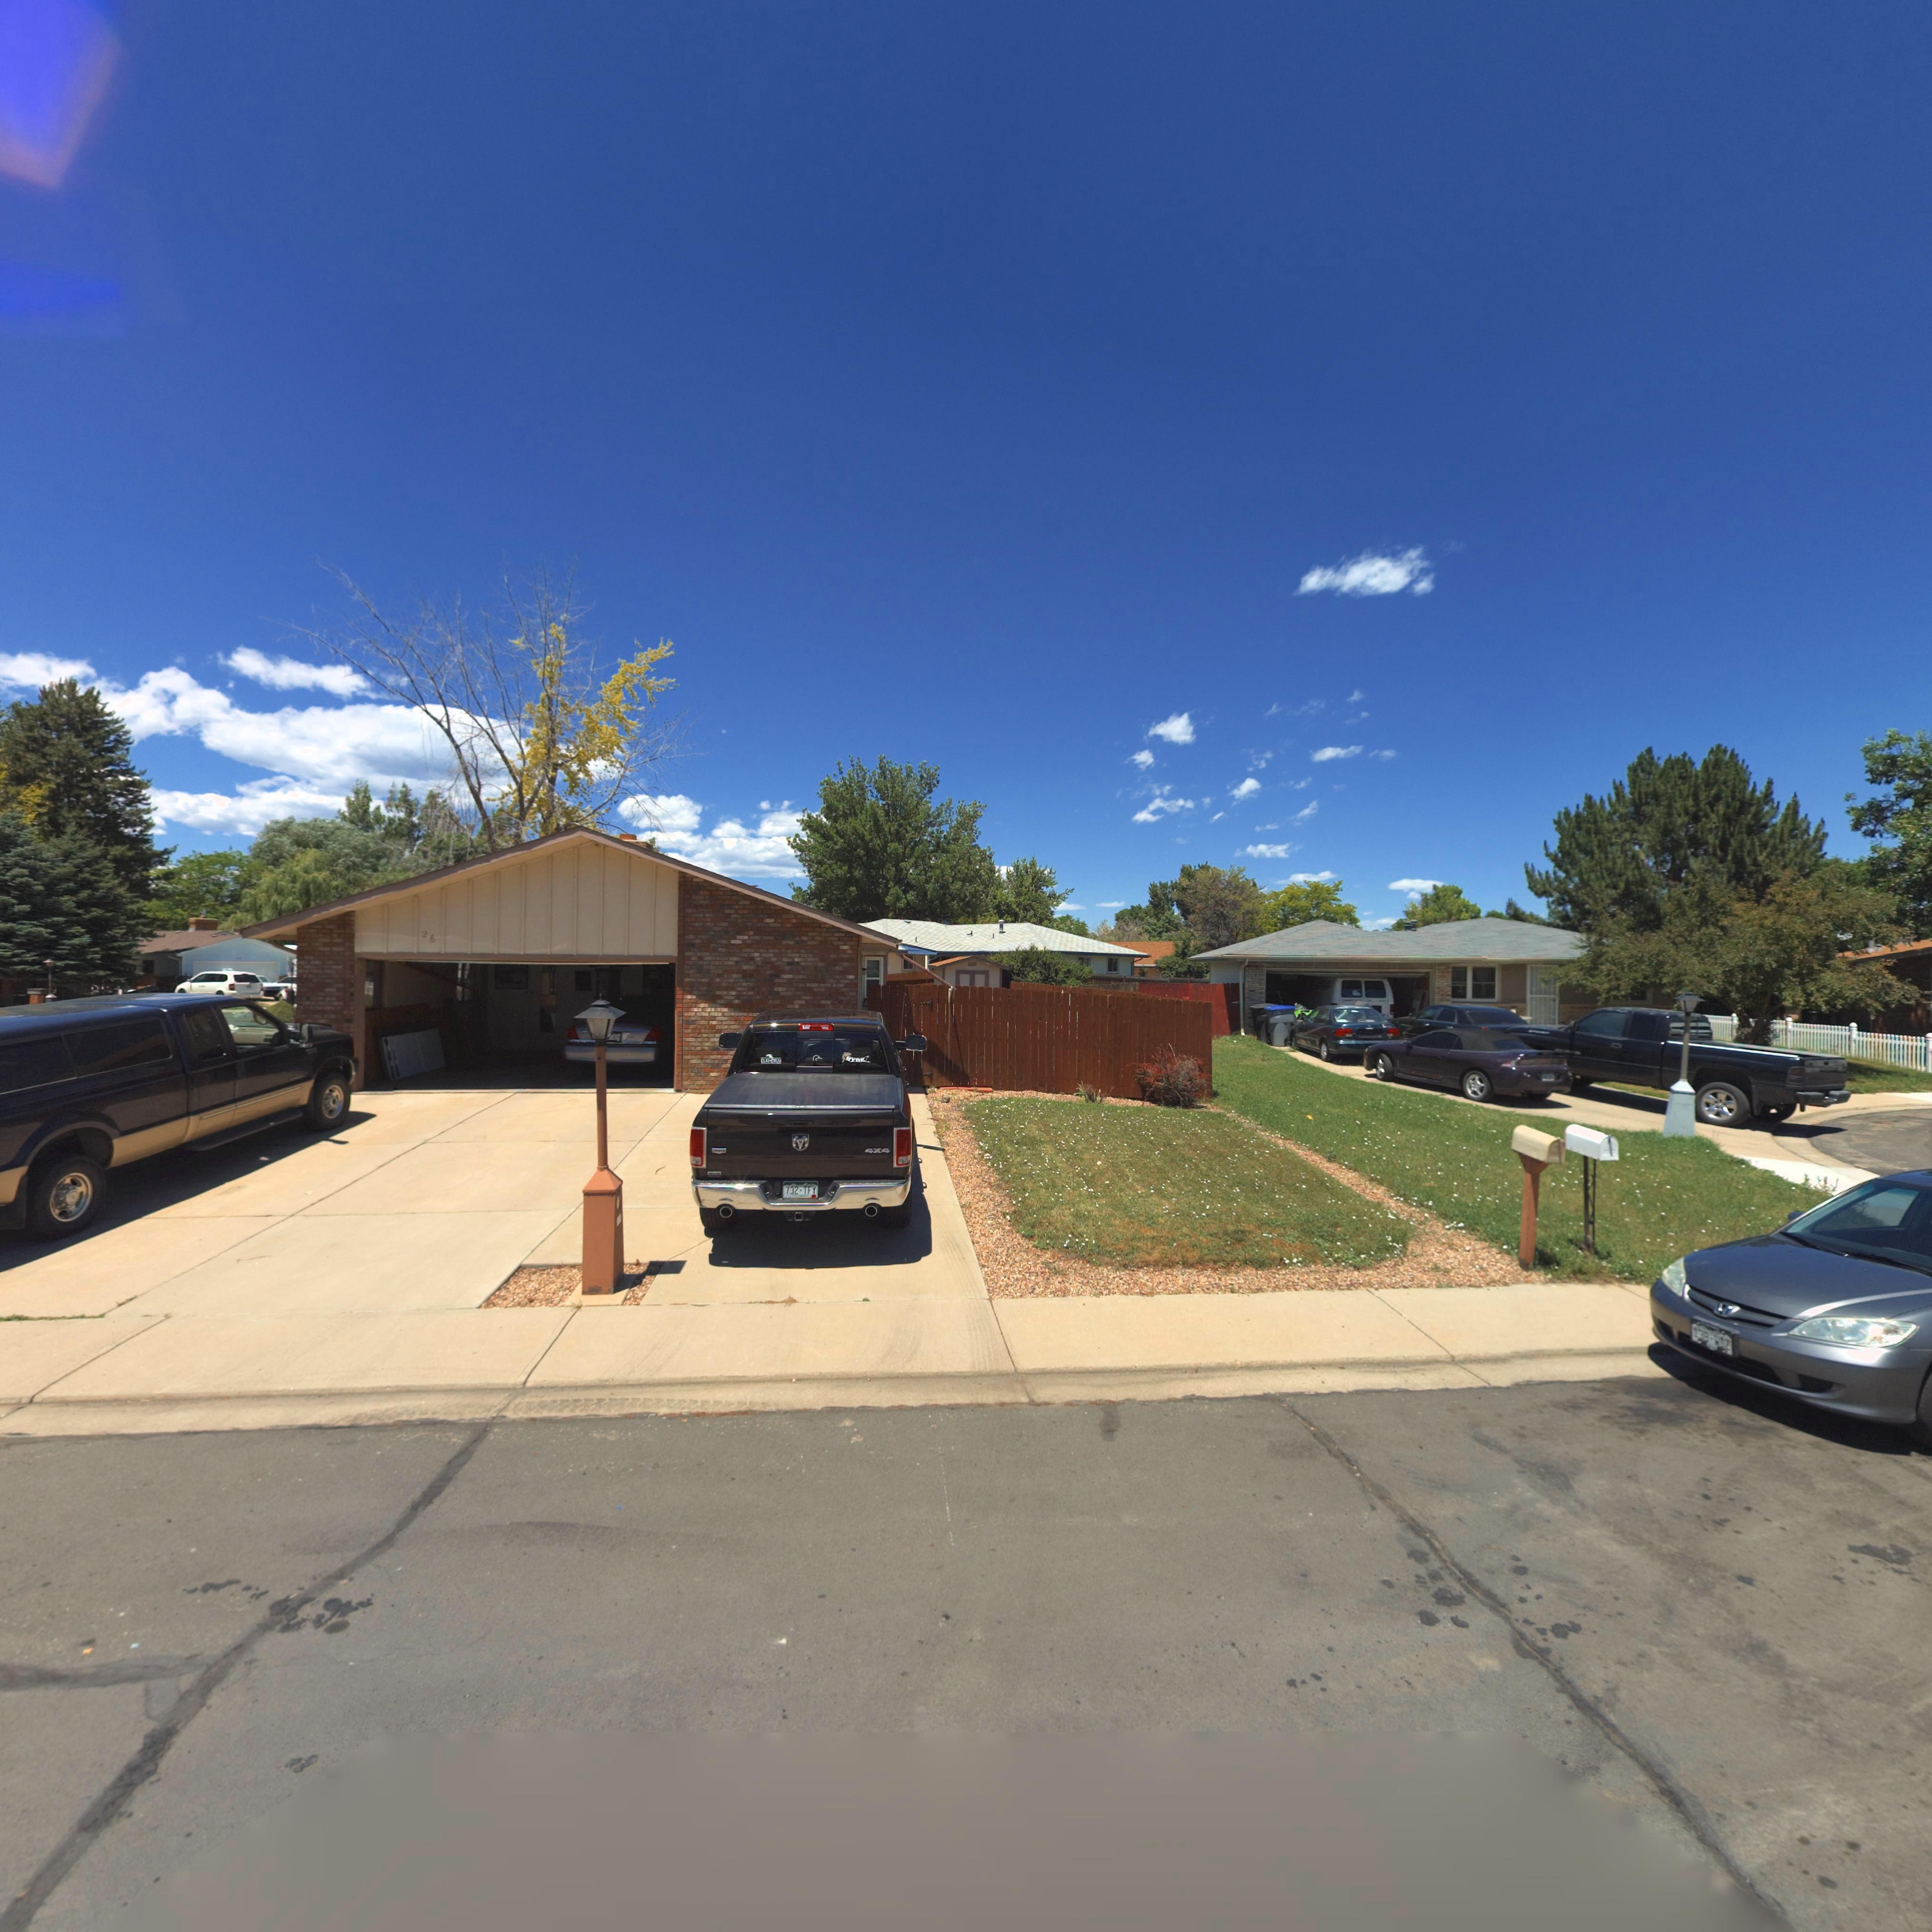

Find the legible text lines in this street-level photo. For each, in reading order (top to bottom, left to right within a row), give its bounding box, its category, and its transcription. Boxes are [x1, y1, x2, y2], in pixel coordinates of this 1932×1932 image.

[421, 930, 436, 943] StreetNumber: 26